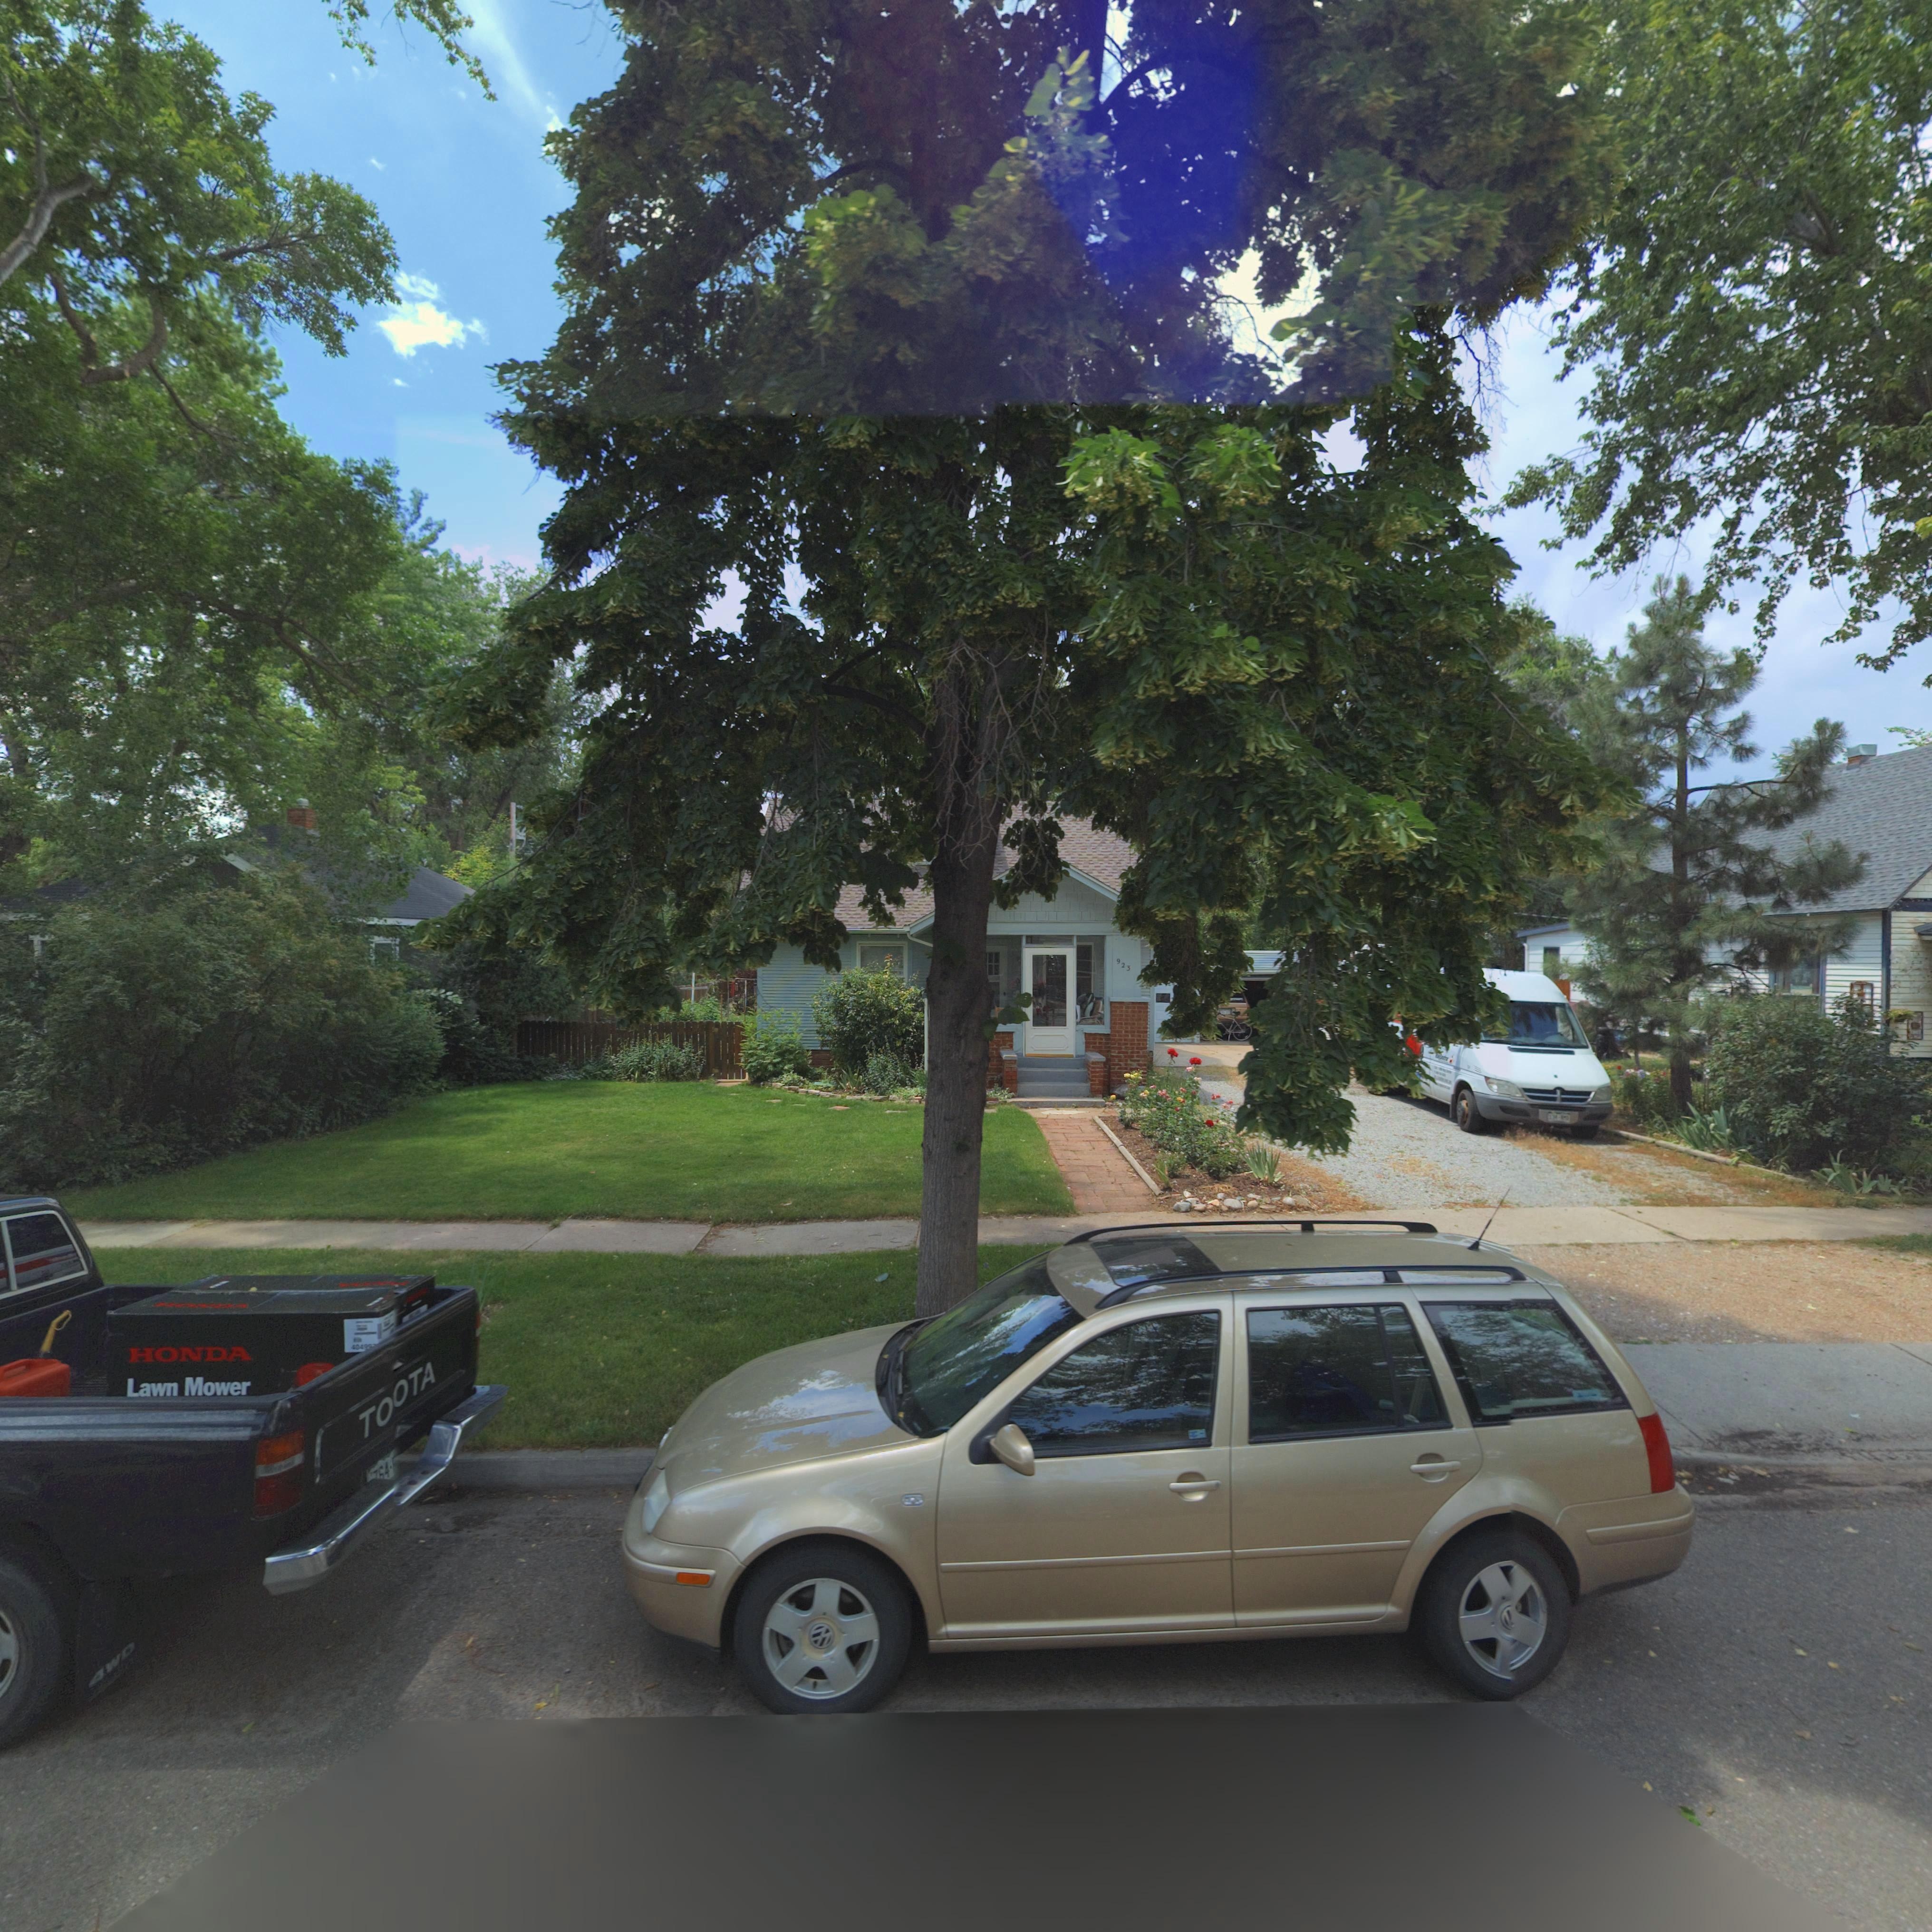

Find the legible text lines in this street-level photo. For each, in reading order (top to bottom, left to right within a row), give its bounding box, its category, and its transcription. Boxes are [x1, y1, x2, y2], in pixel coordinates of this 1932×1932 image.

[1116, 958, 1130, 971] StreetNumber: 923